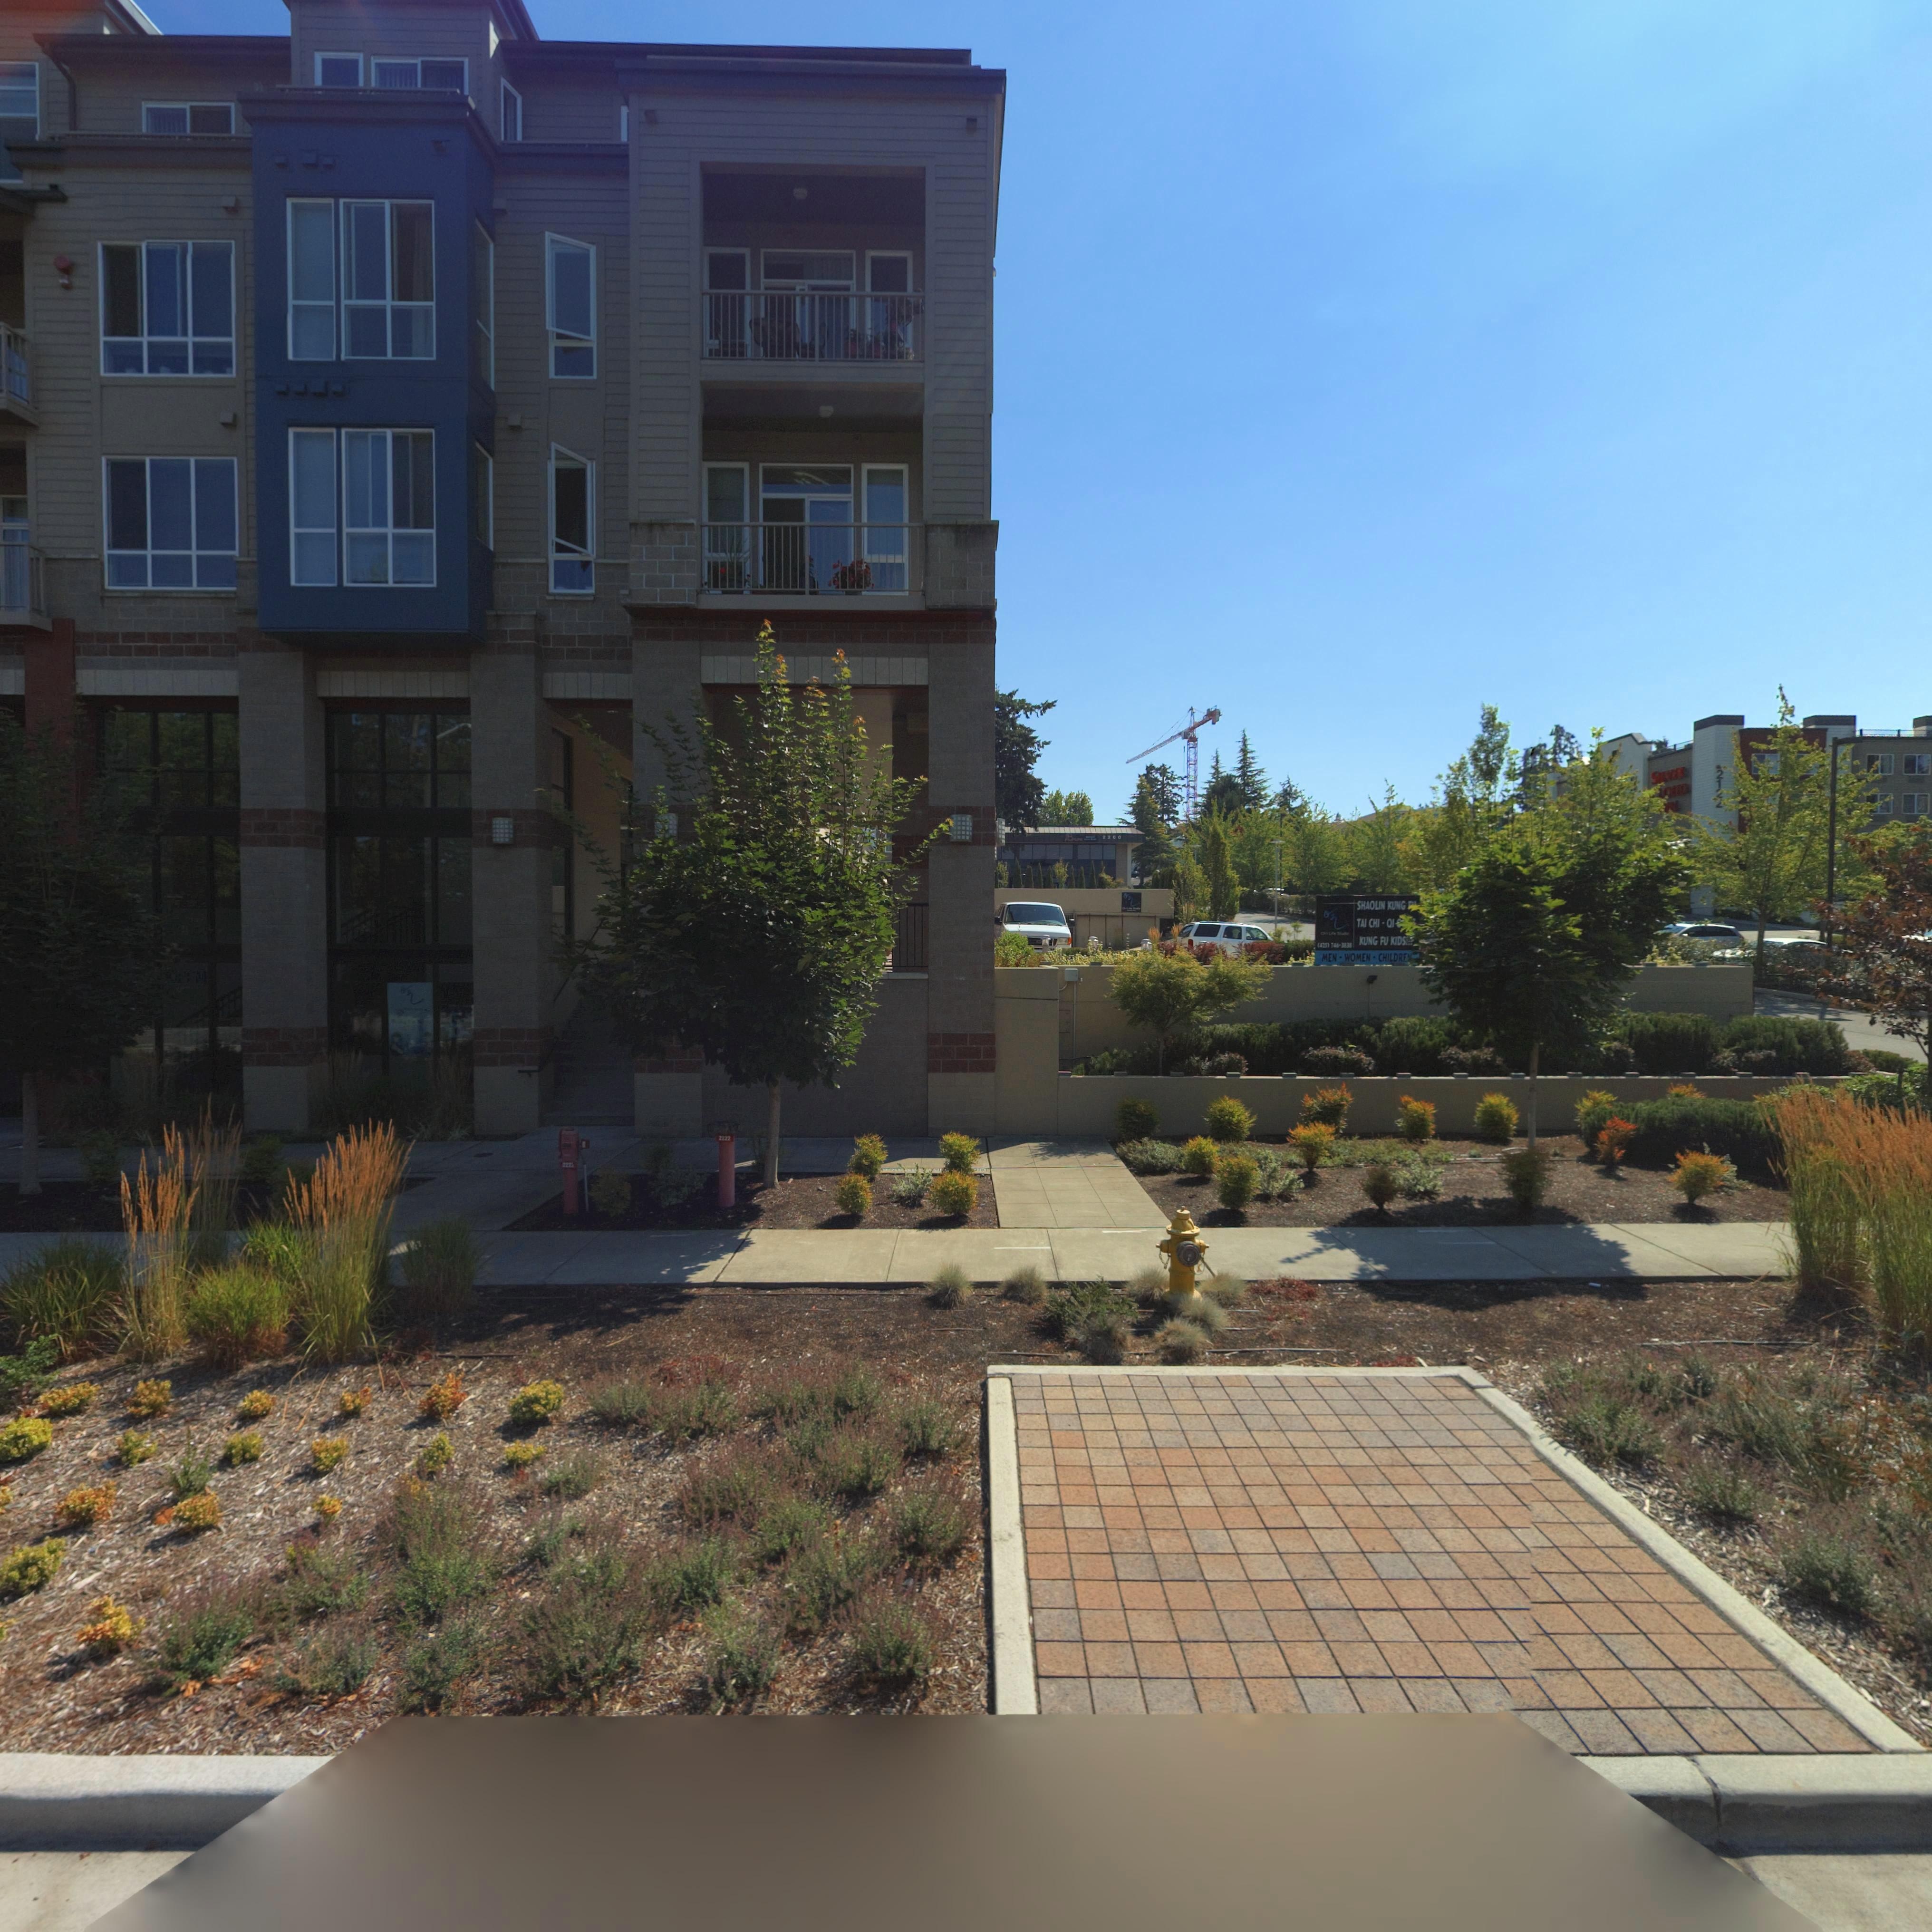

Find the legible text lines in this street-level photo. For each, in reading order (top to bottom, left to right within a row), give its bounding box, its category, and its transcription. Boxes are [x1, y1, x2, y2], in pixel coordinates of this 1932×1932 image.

[1356, 899, 1420, 911] BusinessName: SHAOLIN KUNG **
[1355, 917, 1380, 928] BusinessName: TAI CHI
[1358, 935, 1410, 946] BusinessName: KUNG FU KIDS*
[1321, 952, 1412, 962] BusinessName: MEN - WOMEN - CHILDR**